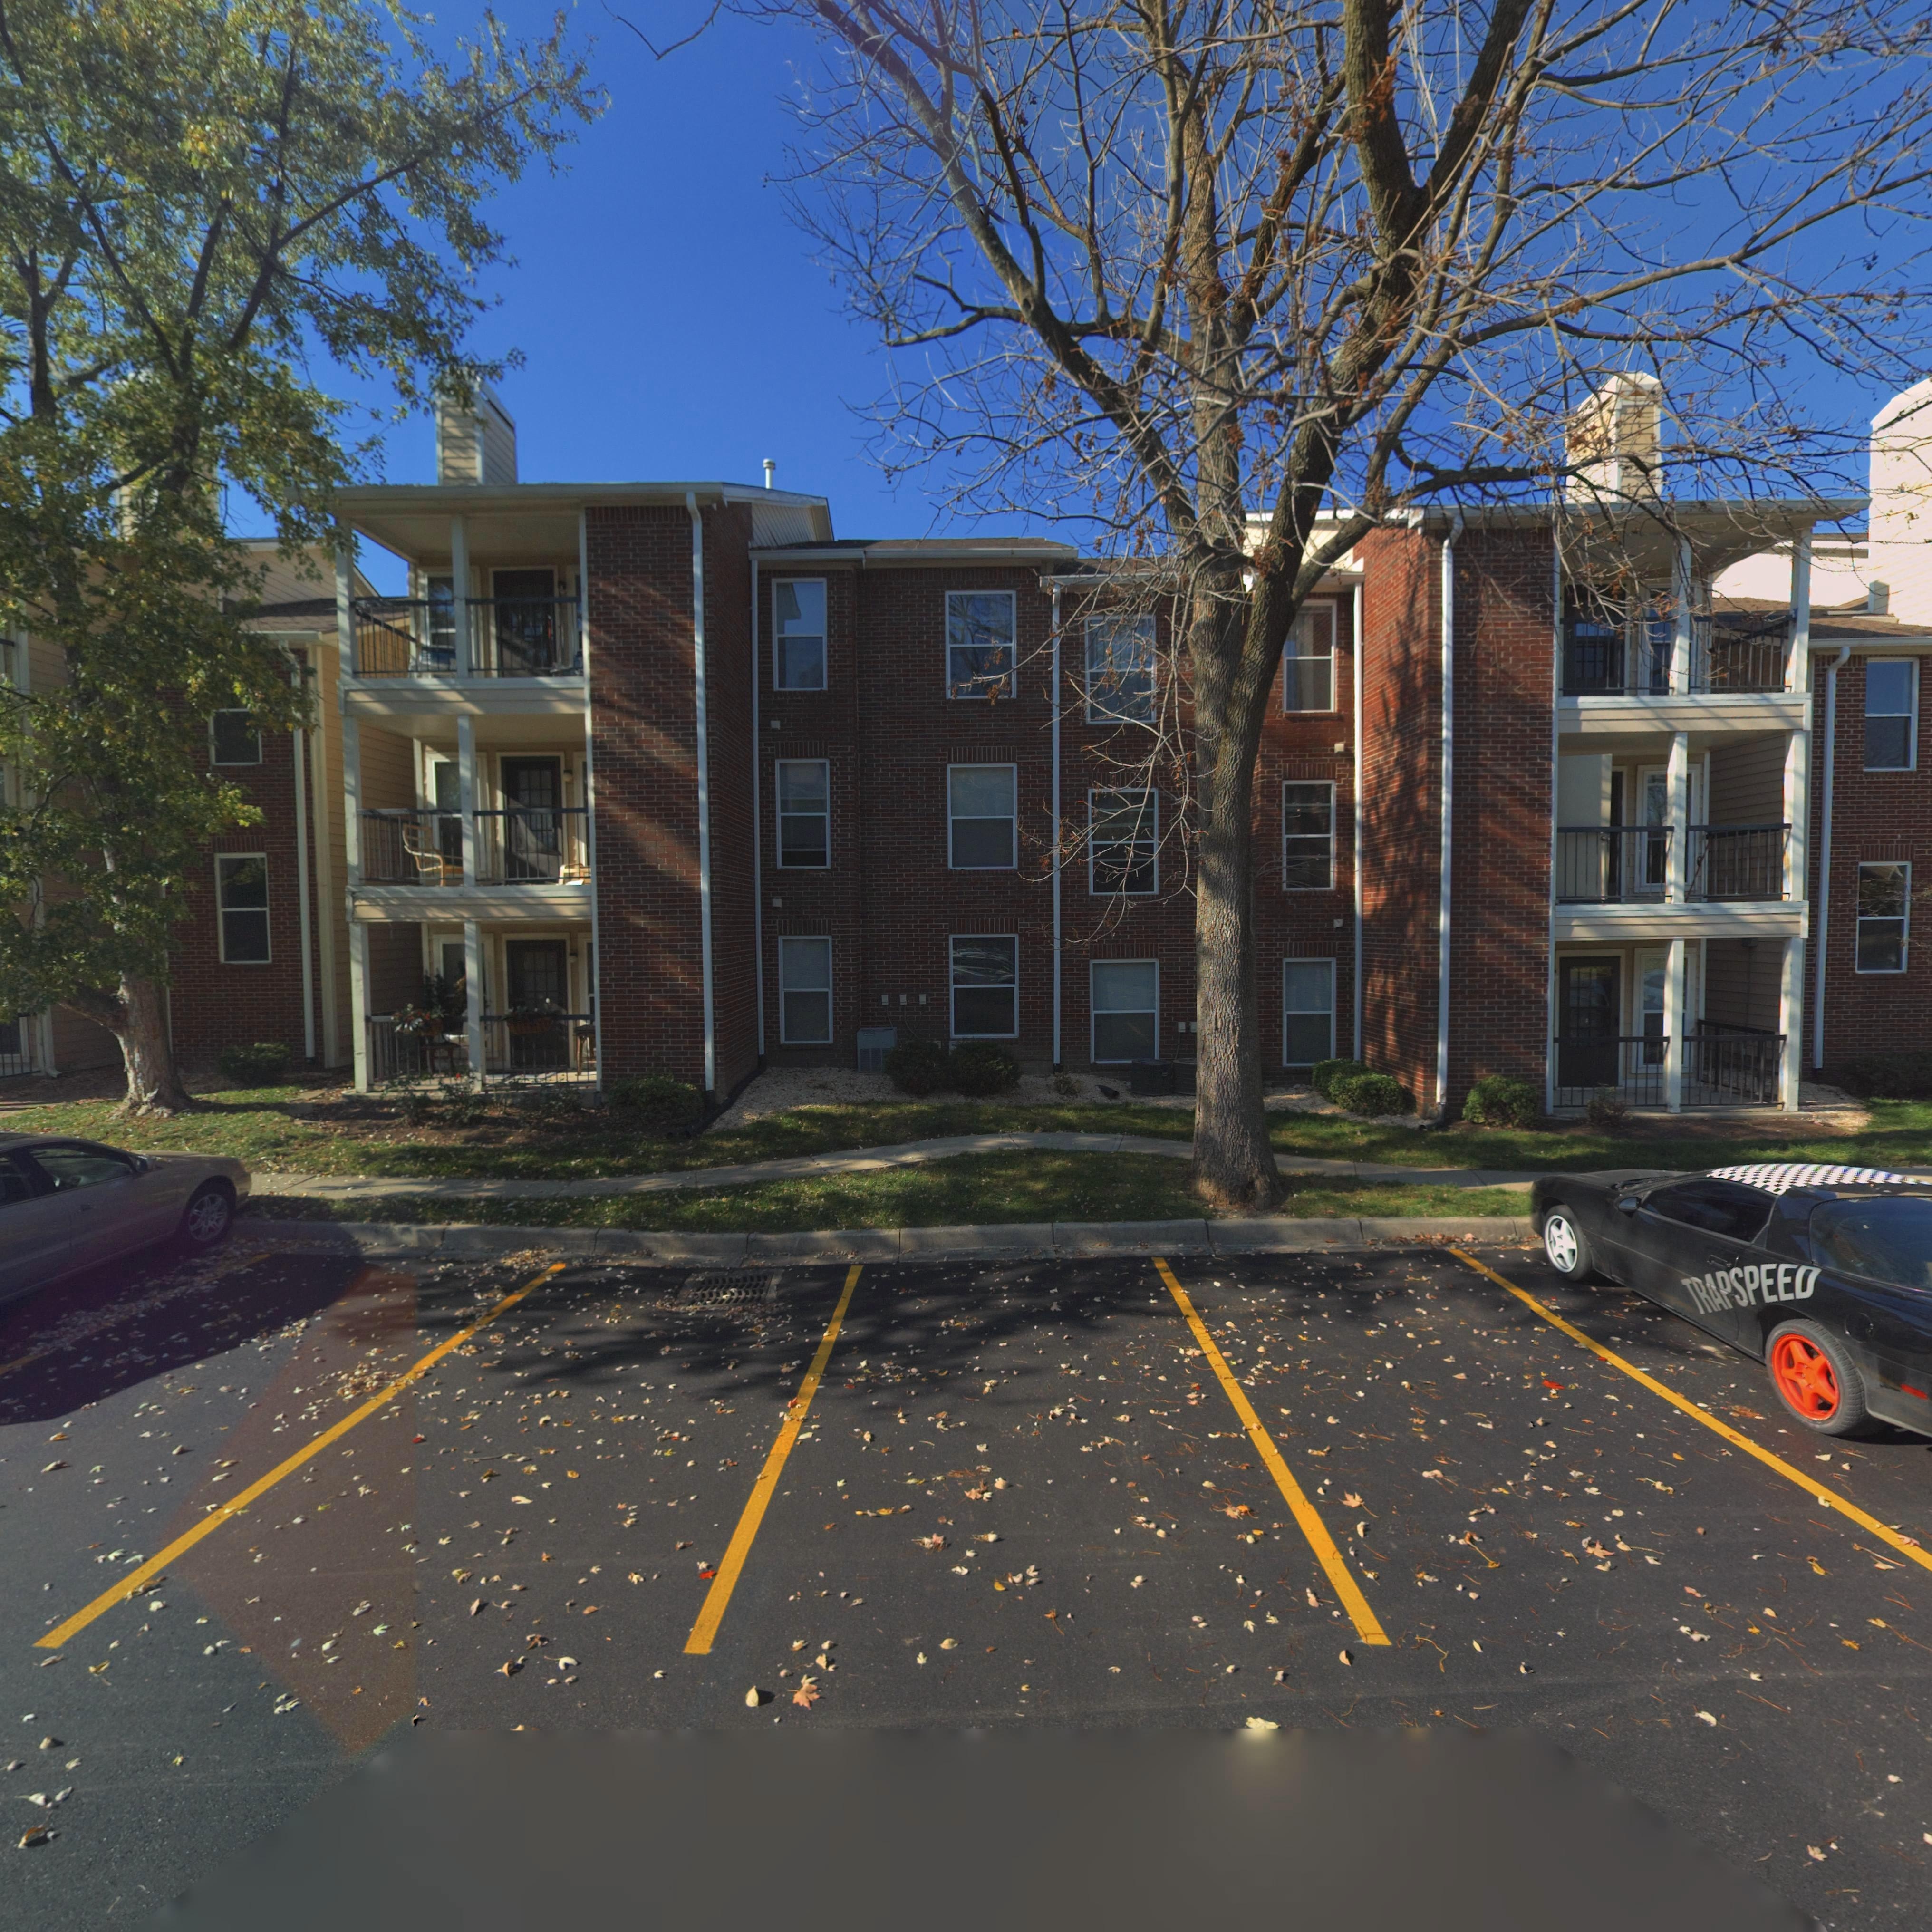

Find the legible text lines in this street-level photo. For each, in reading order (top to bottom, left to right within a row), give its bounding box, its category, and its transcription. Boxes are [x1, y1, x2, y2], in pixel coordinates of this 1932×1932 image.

[1678, 1262, 1826, 1317] None: TRAPSPEED